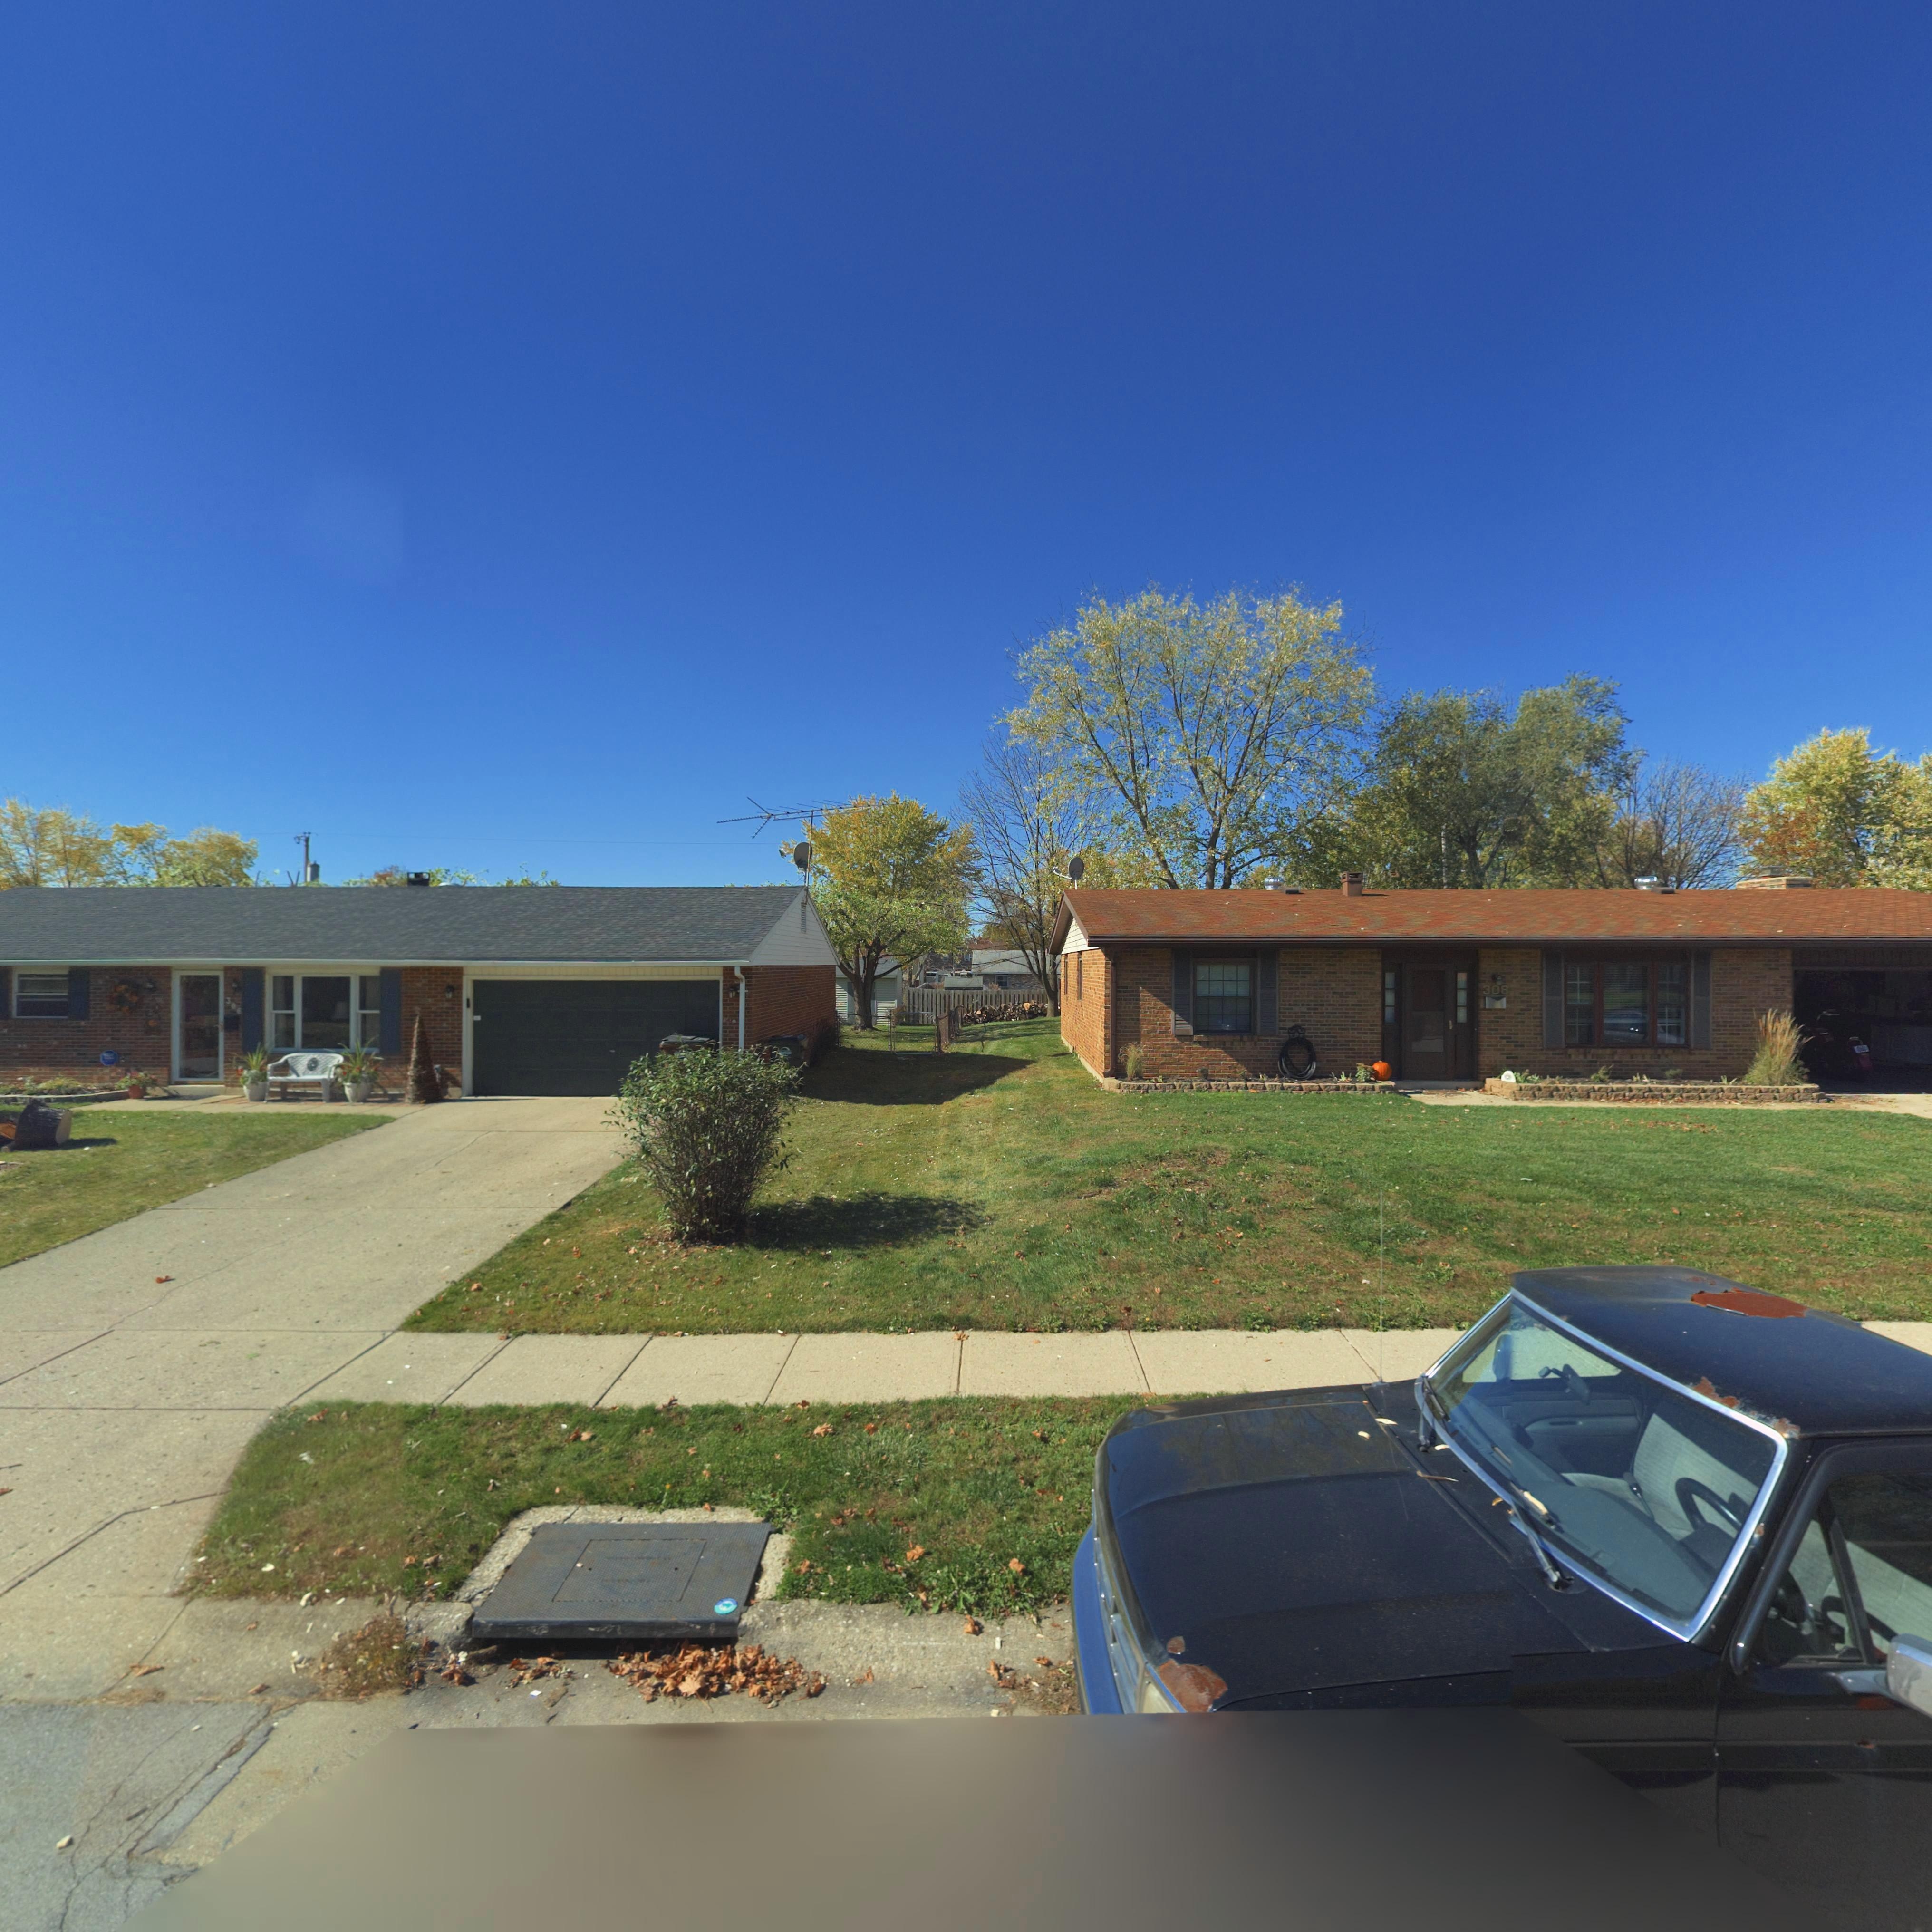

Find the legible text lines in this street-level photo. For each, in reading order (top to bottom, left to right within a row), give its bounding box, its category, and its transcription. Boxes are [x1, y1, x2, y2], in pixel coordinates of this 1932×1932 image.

[1482, 985, 1509, 995] StreetNumber: 308
[225, 996, 242, 1015] StreetNumber: 306